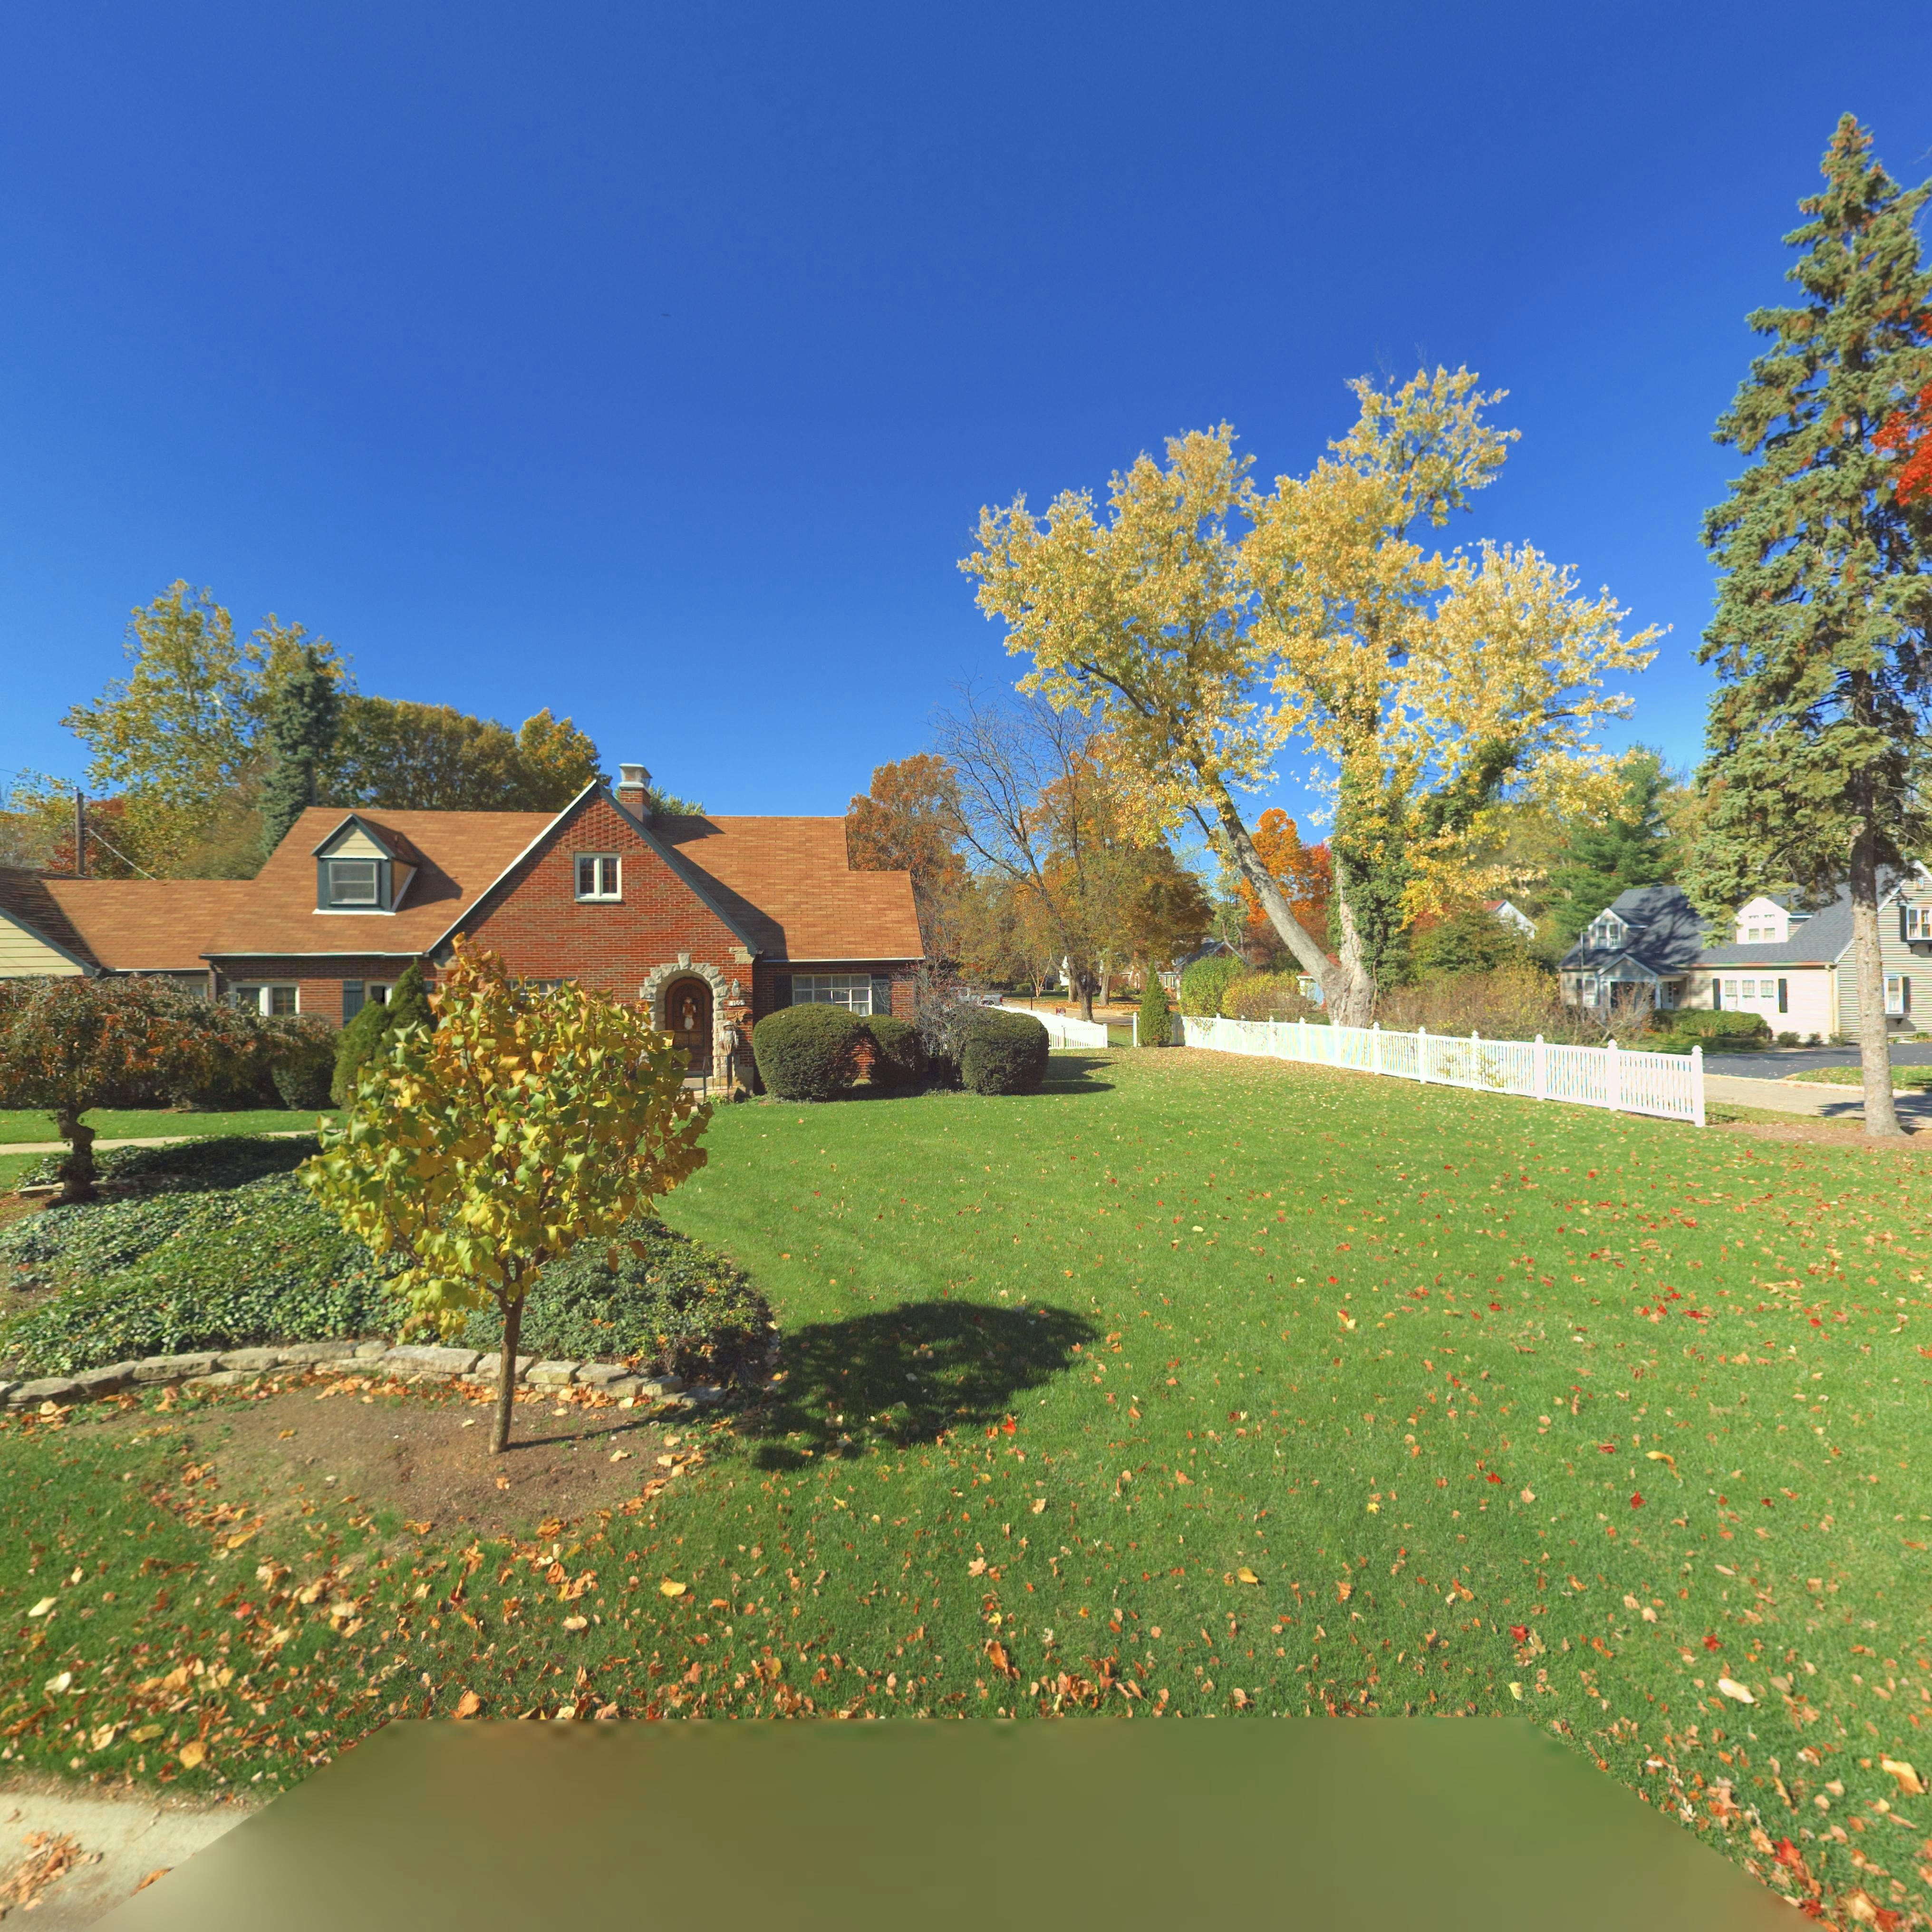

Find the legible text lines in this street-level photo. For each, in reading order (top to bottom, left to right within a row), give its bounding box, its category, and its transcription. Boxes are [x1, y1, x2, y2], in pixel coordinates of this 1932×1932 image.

[731, 1000, 743, 1007] StreetNumber: 100